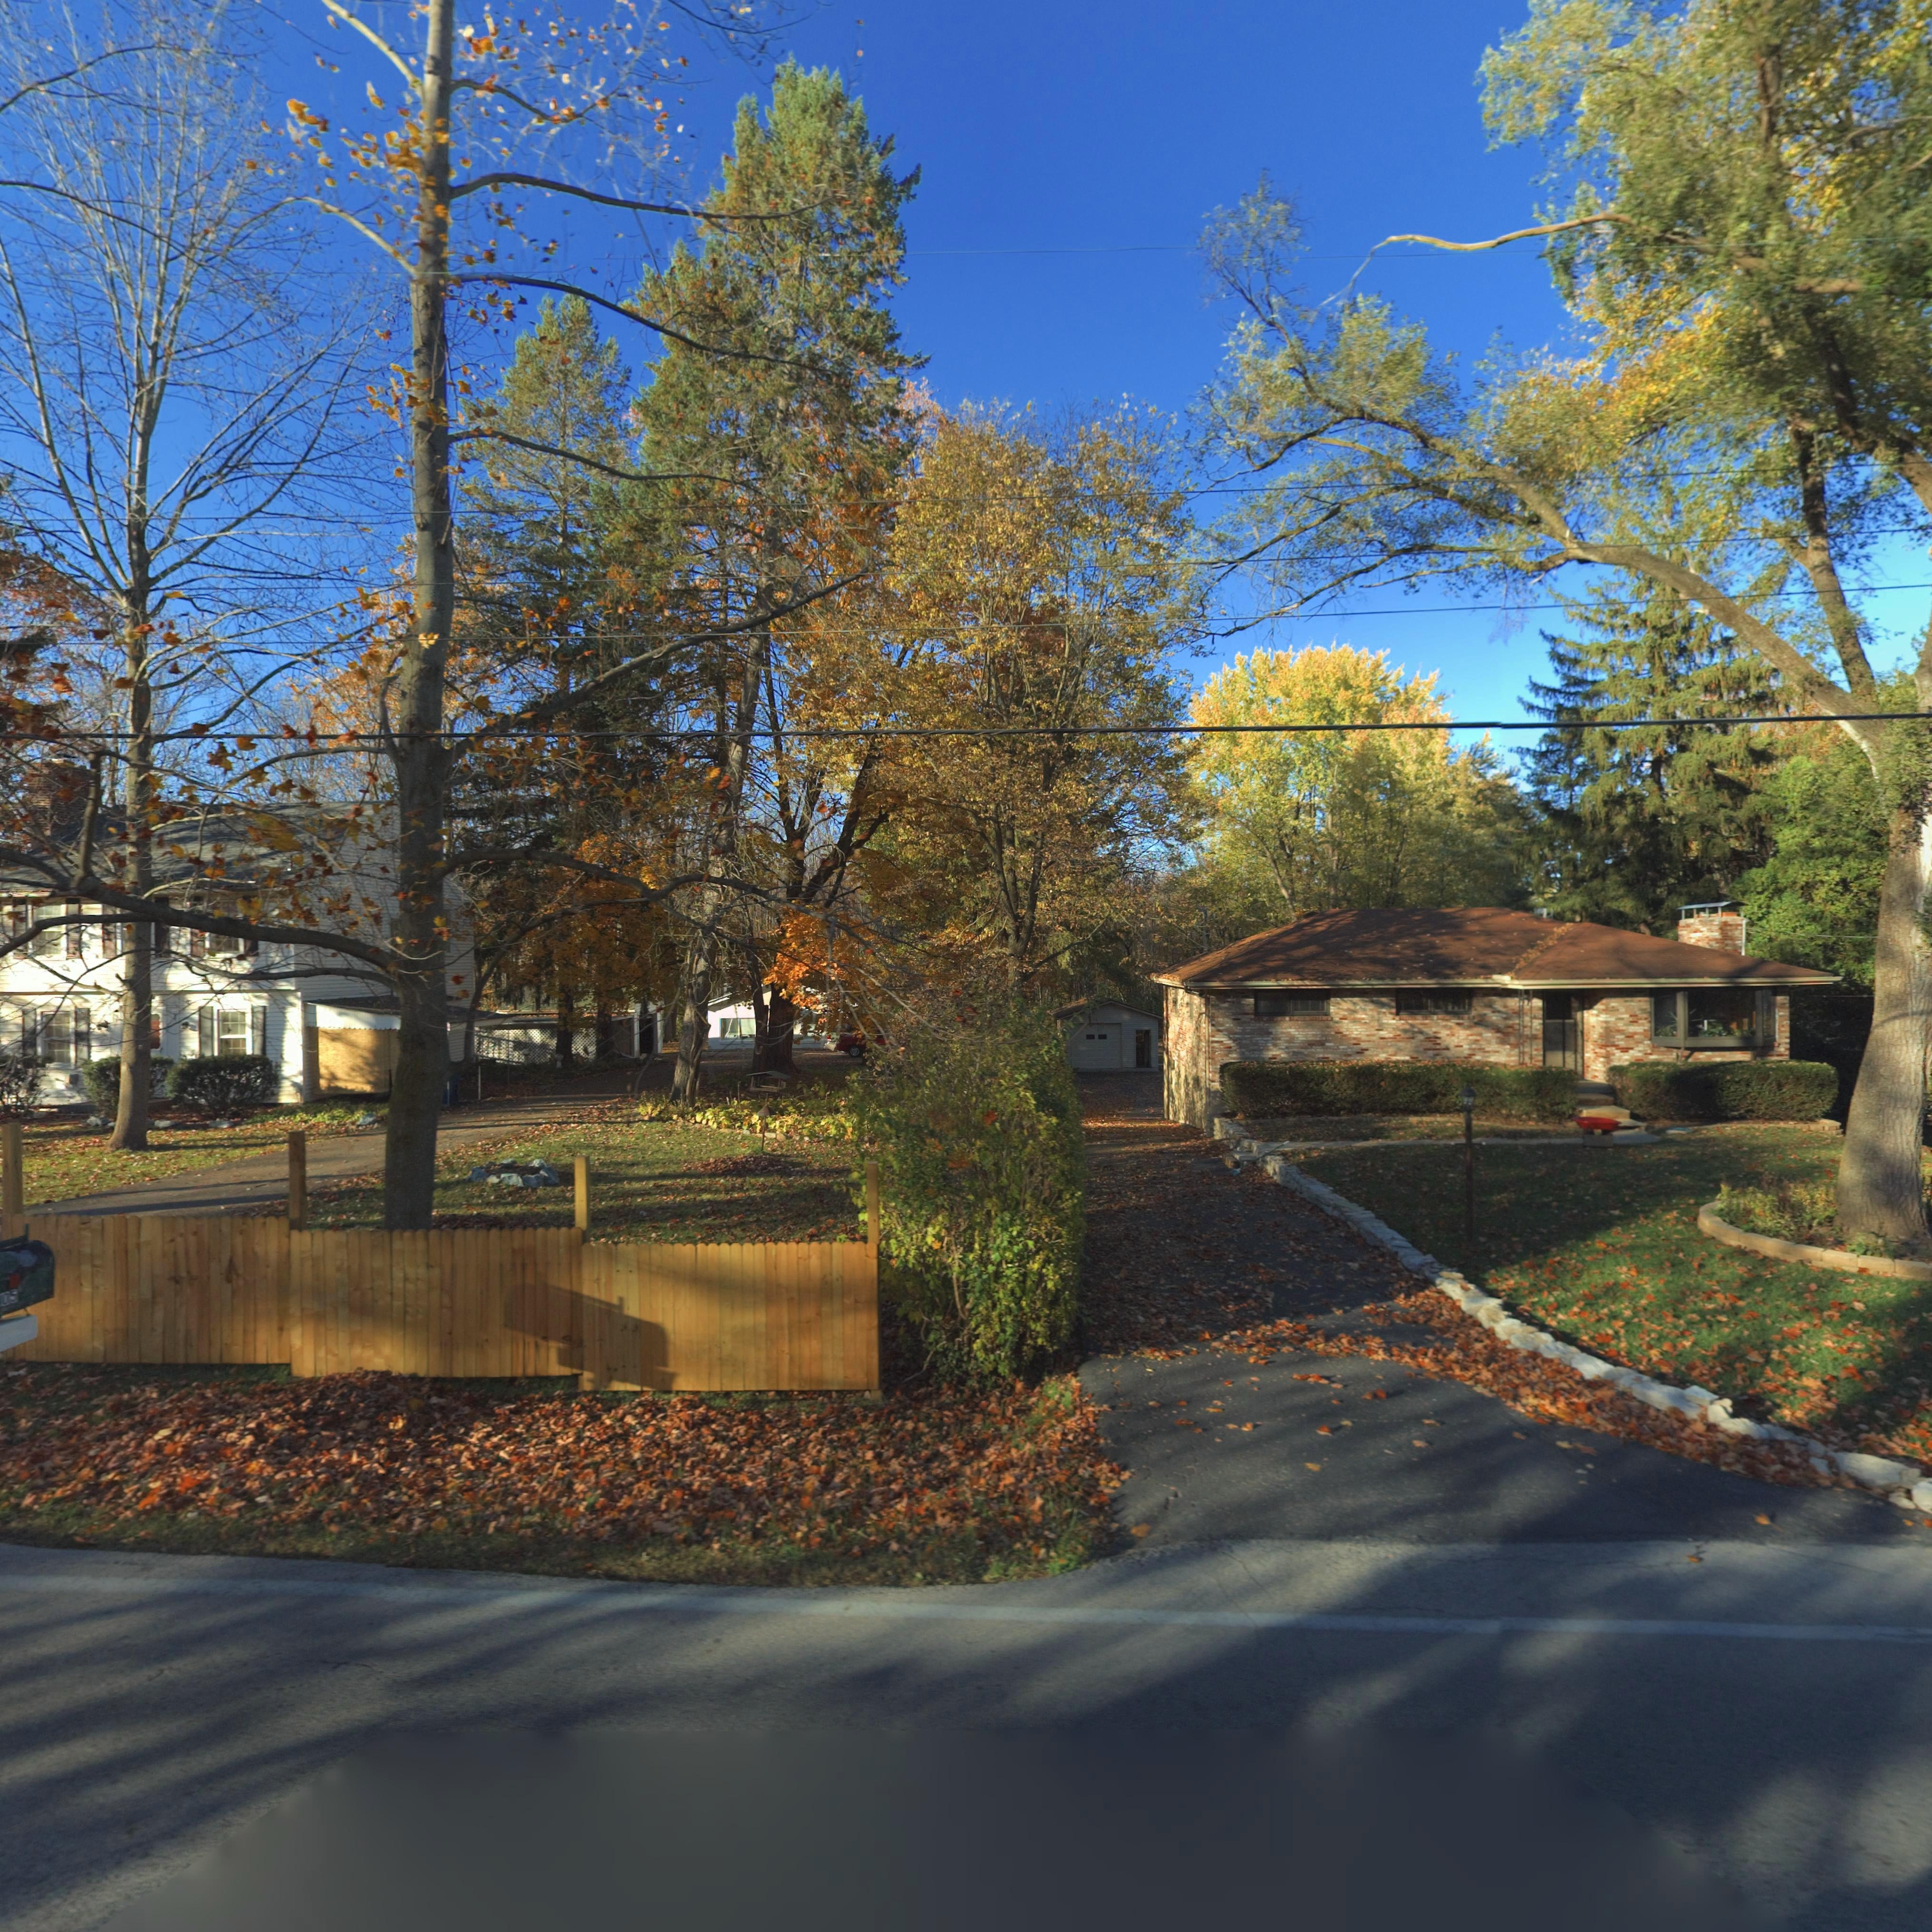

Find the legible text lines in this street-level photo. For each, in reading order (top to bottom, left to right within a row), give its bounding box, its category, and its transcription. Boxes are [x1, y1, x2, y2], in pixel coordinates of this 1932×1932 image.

[1, 1288, 18, 1306] StreetNumber: 05